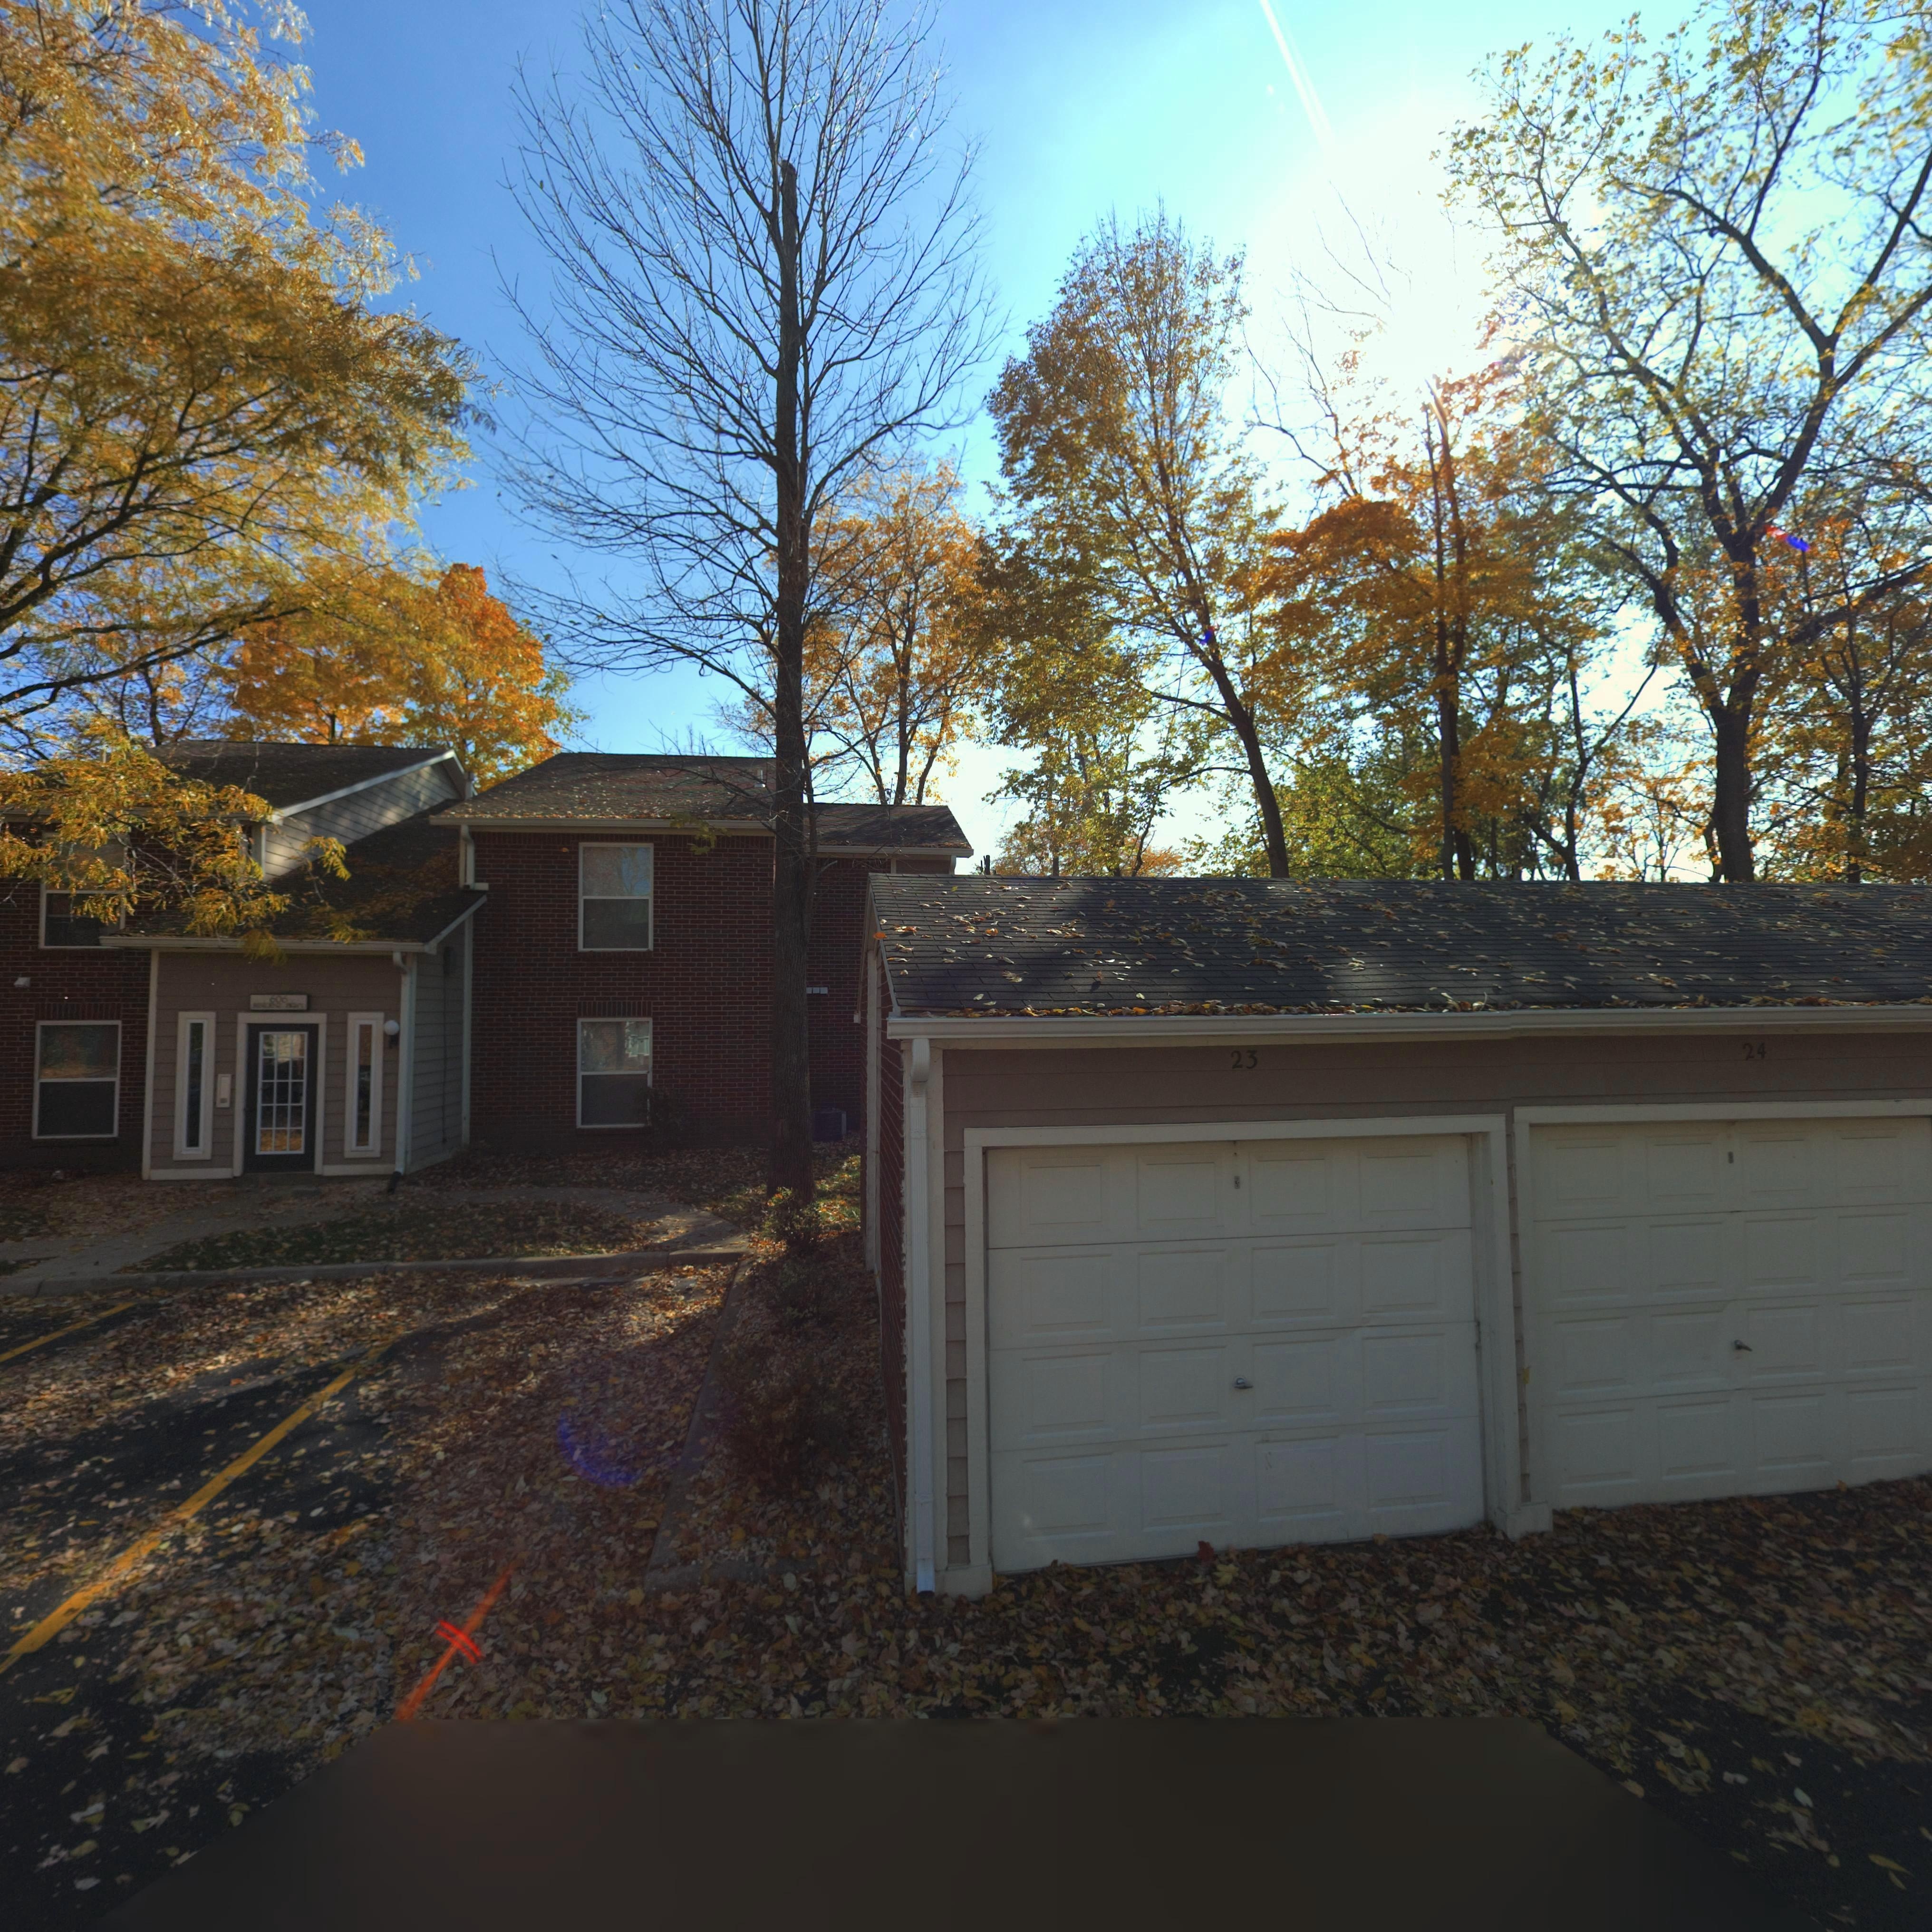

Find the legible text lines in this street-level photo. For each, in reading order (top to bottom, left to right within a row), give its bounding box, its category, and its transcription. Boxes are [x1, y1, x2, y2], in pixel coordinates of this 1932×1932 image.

[268, 994, 290, 1004] StreetNumber: 606
[1229, 1048, 1259, 1071] StreetNumber: 23
[1741, 1041, 1768, 1063] StreetNumber: 24